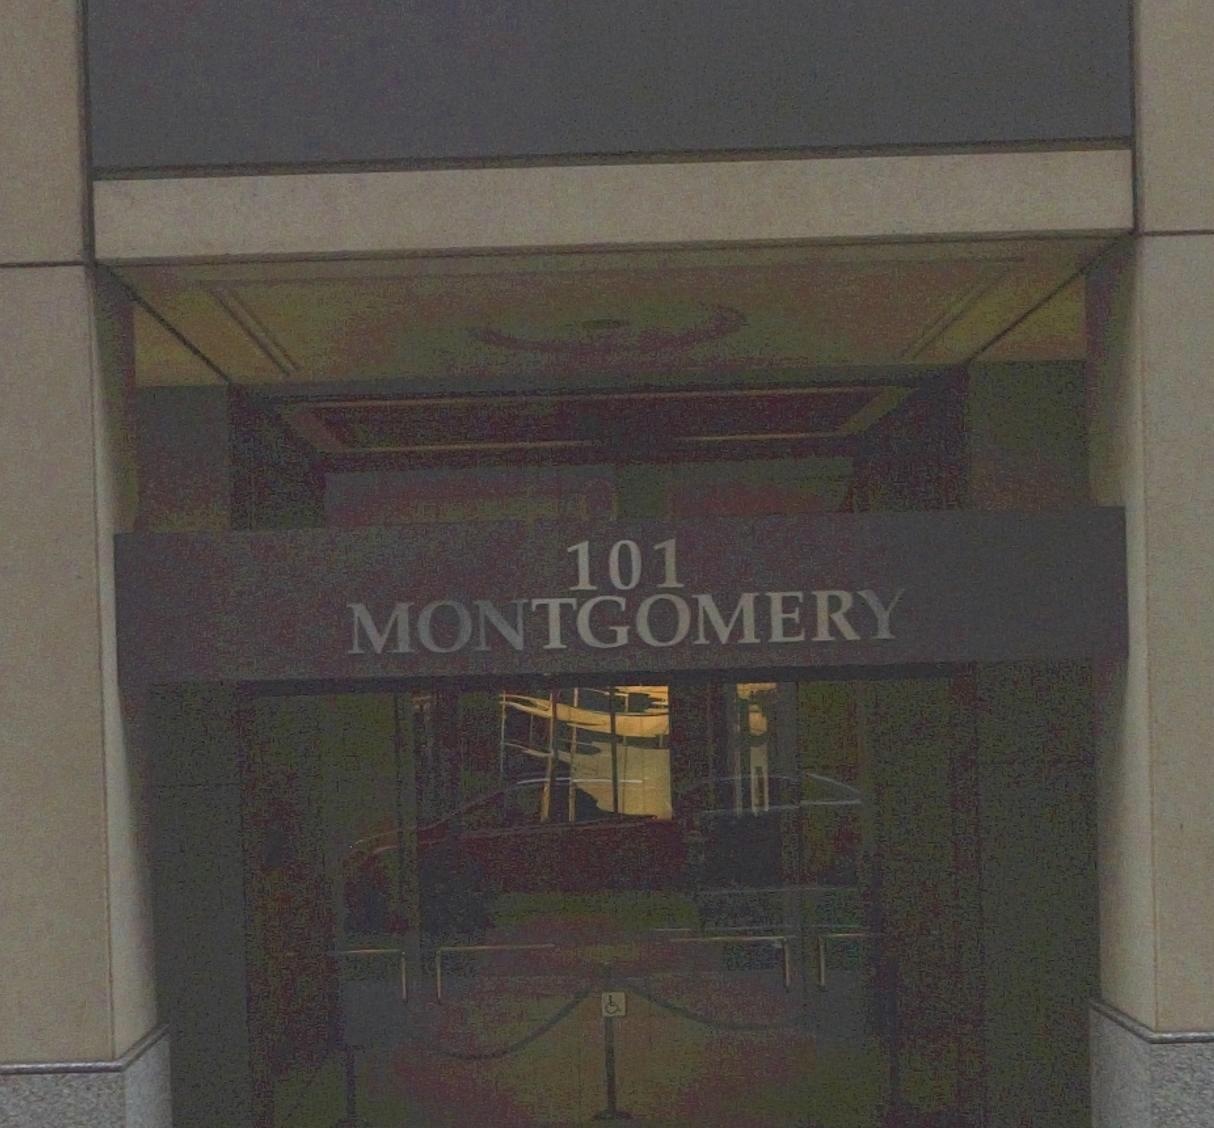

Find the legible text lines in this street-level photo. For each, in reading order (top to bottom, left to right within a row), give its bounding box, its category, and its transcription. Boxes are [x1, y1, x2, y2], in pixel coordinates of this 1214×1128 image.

[565, 536, 688, 592] StreetNumber: 101
[345, 587, 909, 656] BusinessName: MONTGOMERY